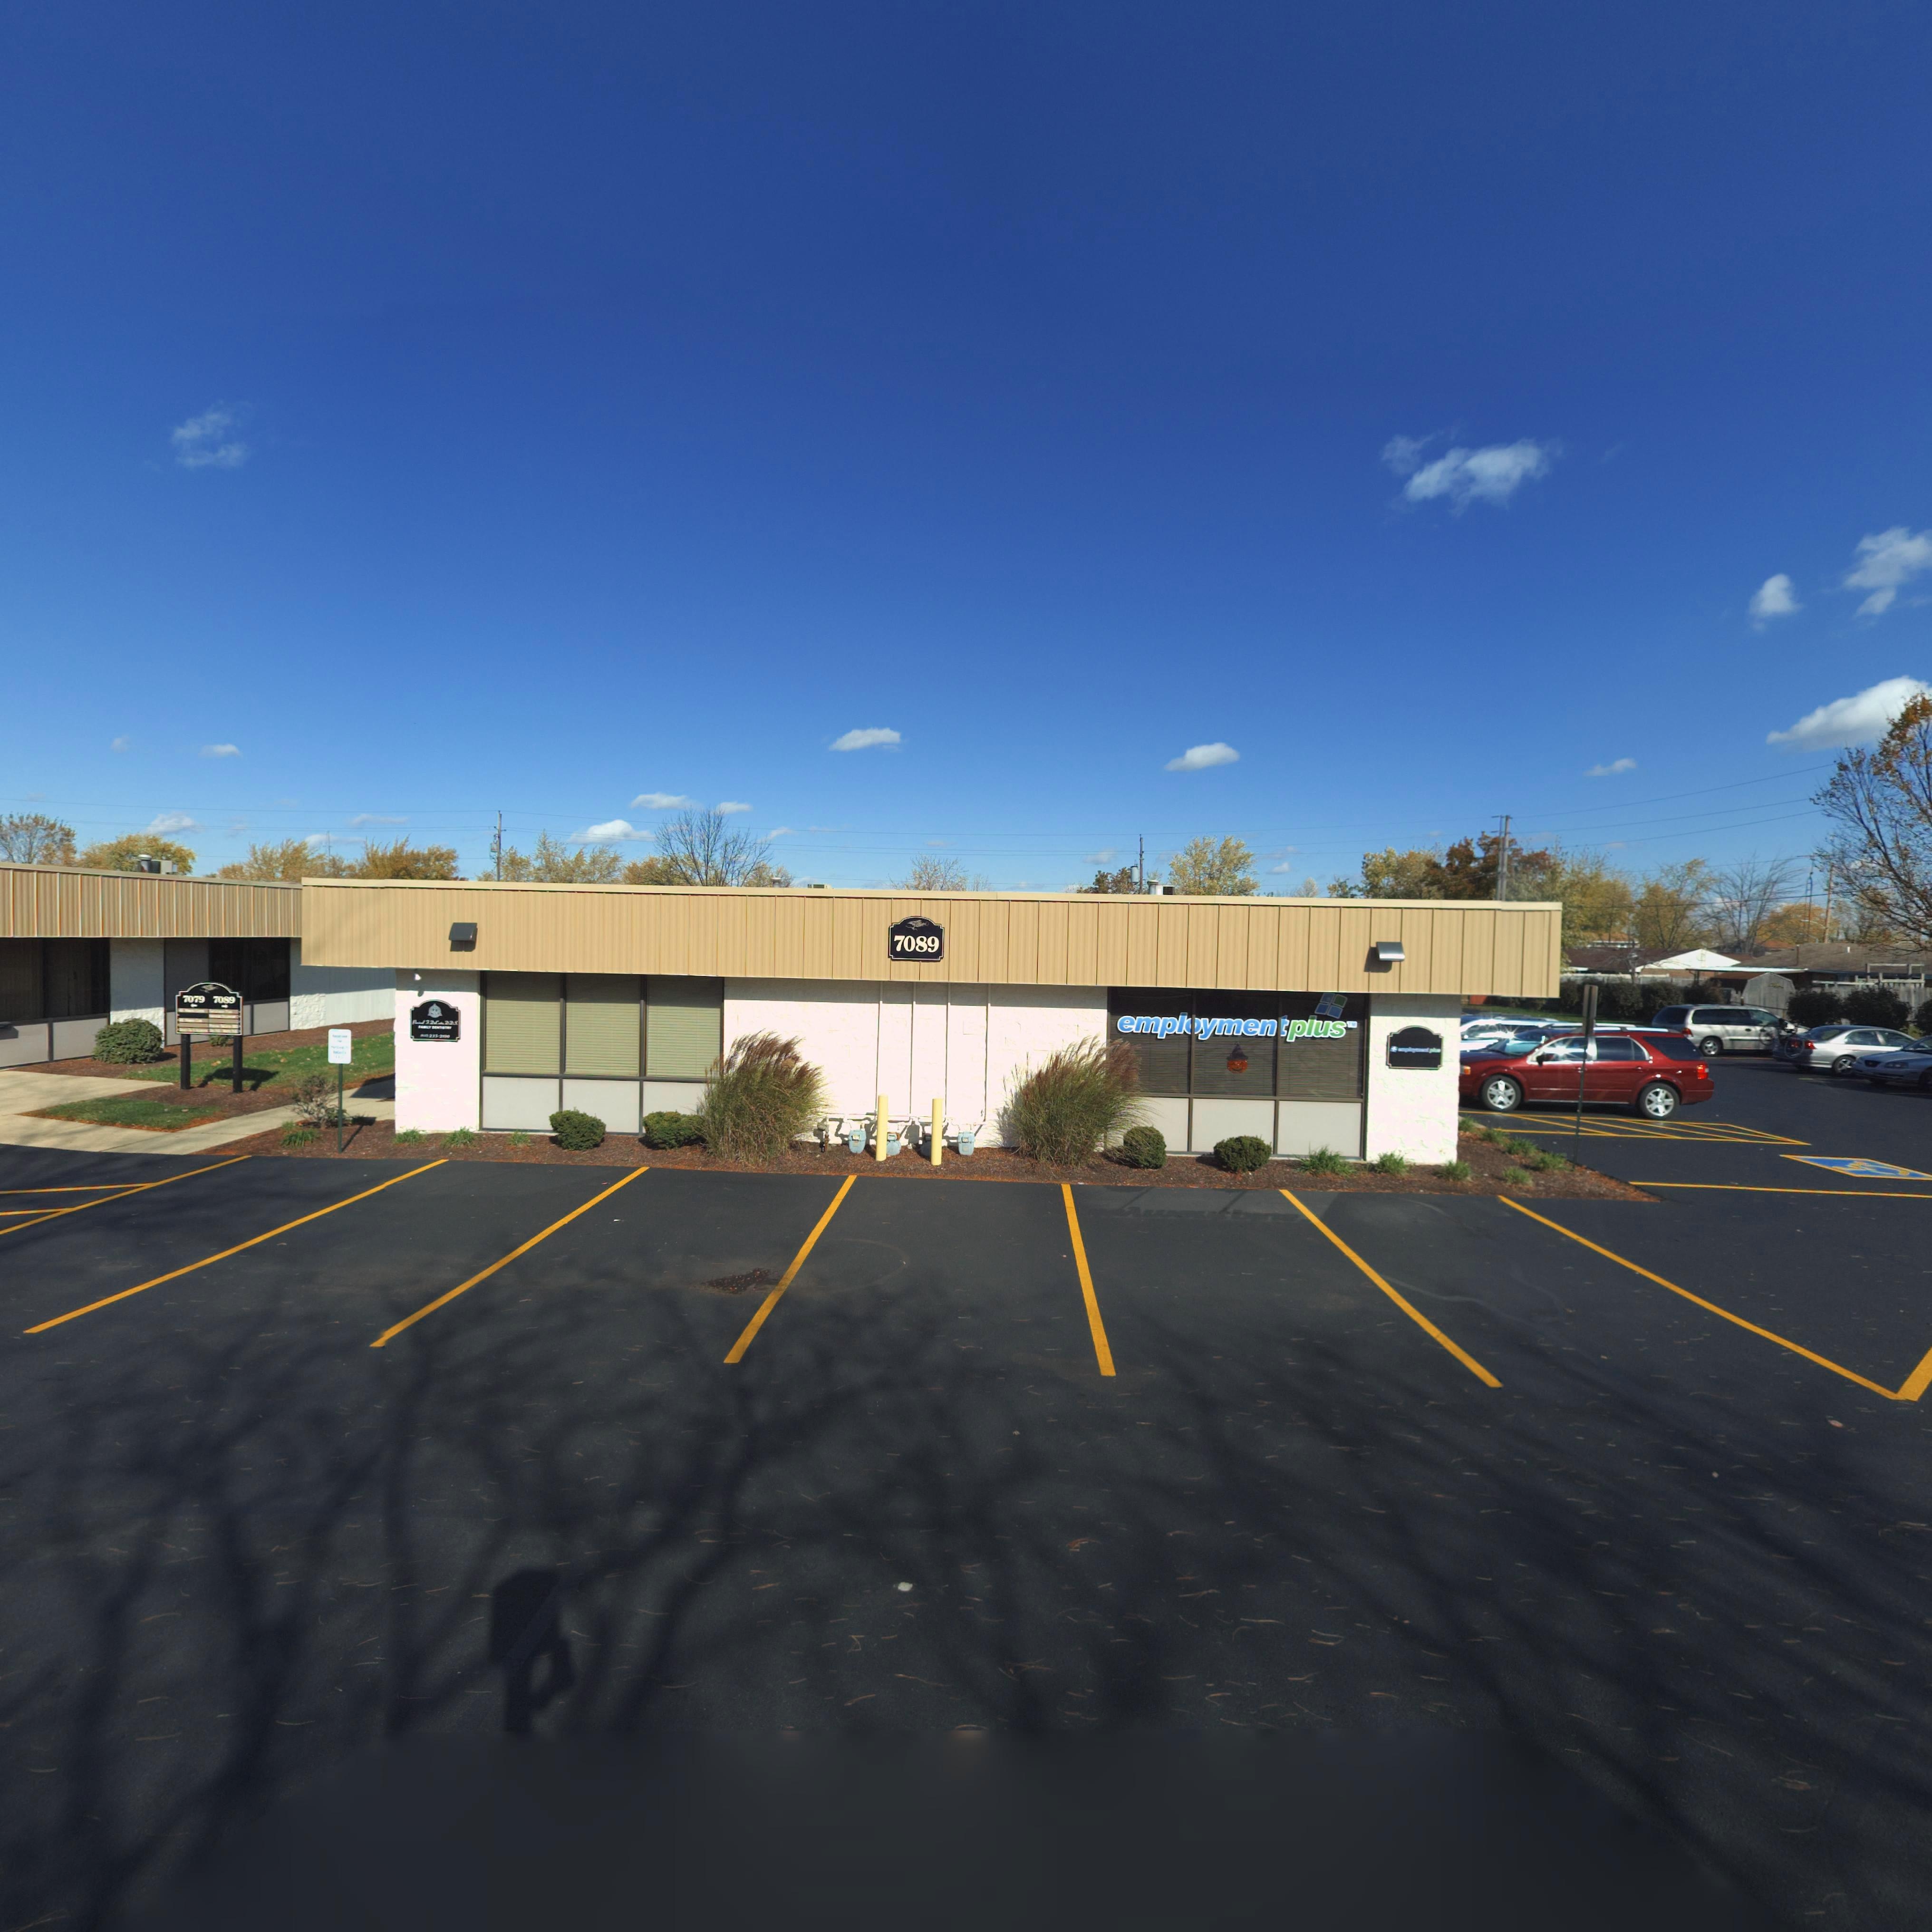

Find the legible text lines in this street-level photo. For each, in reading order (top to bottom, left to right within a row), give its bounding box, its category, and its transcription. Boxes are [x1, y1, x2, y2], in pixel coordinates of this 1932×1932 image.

[892, 934, 941, 954] StreetNumber: 7089
[182, 994, 207, 1004] StreetNumber: 7079
[211, 995, 238, 1005] StreetNumber: 7089